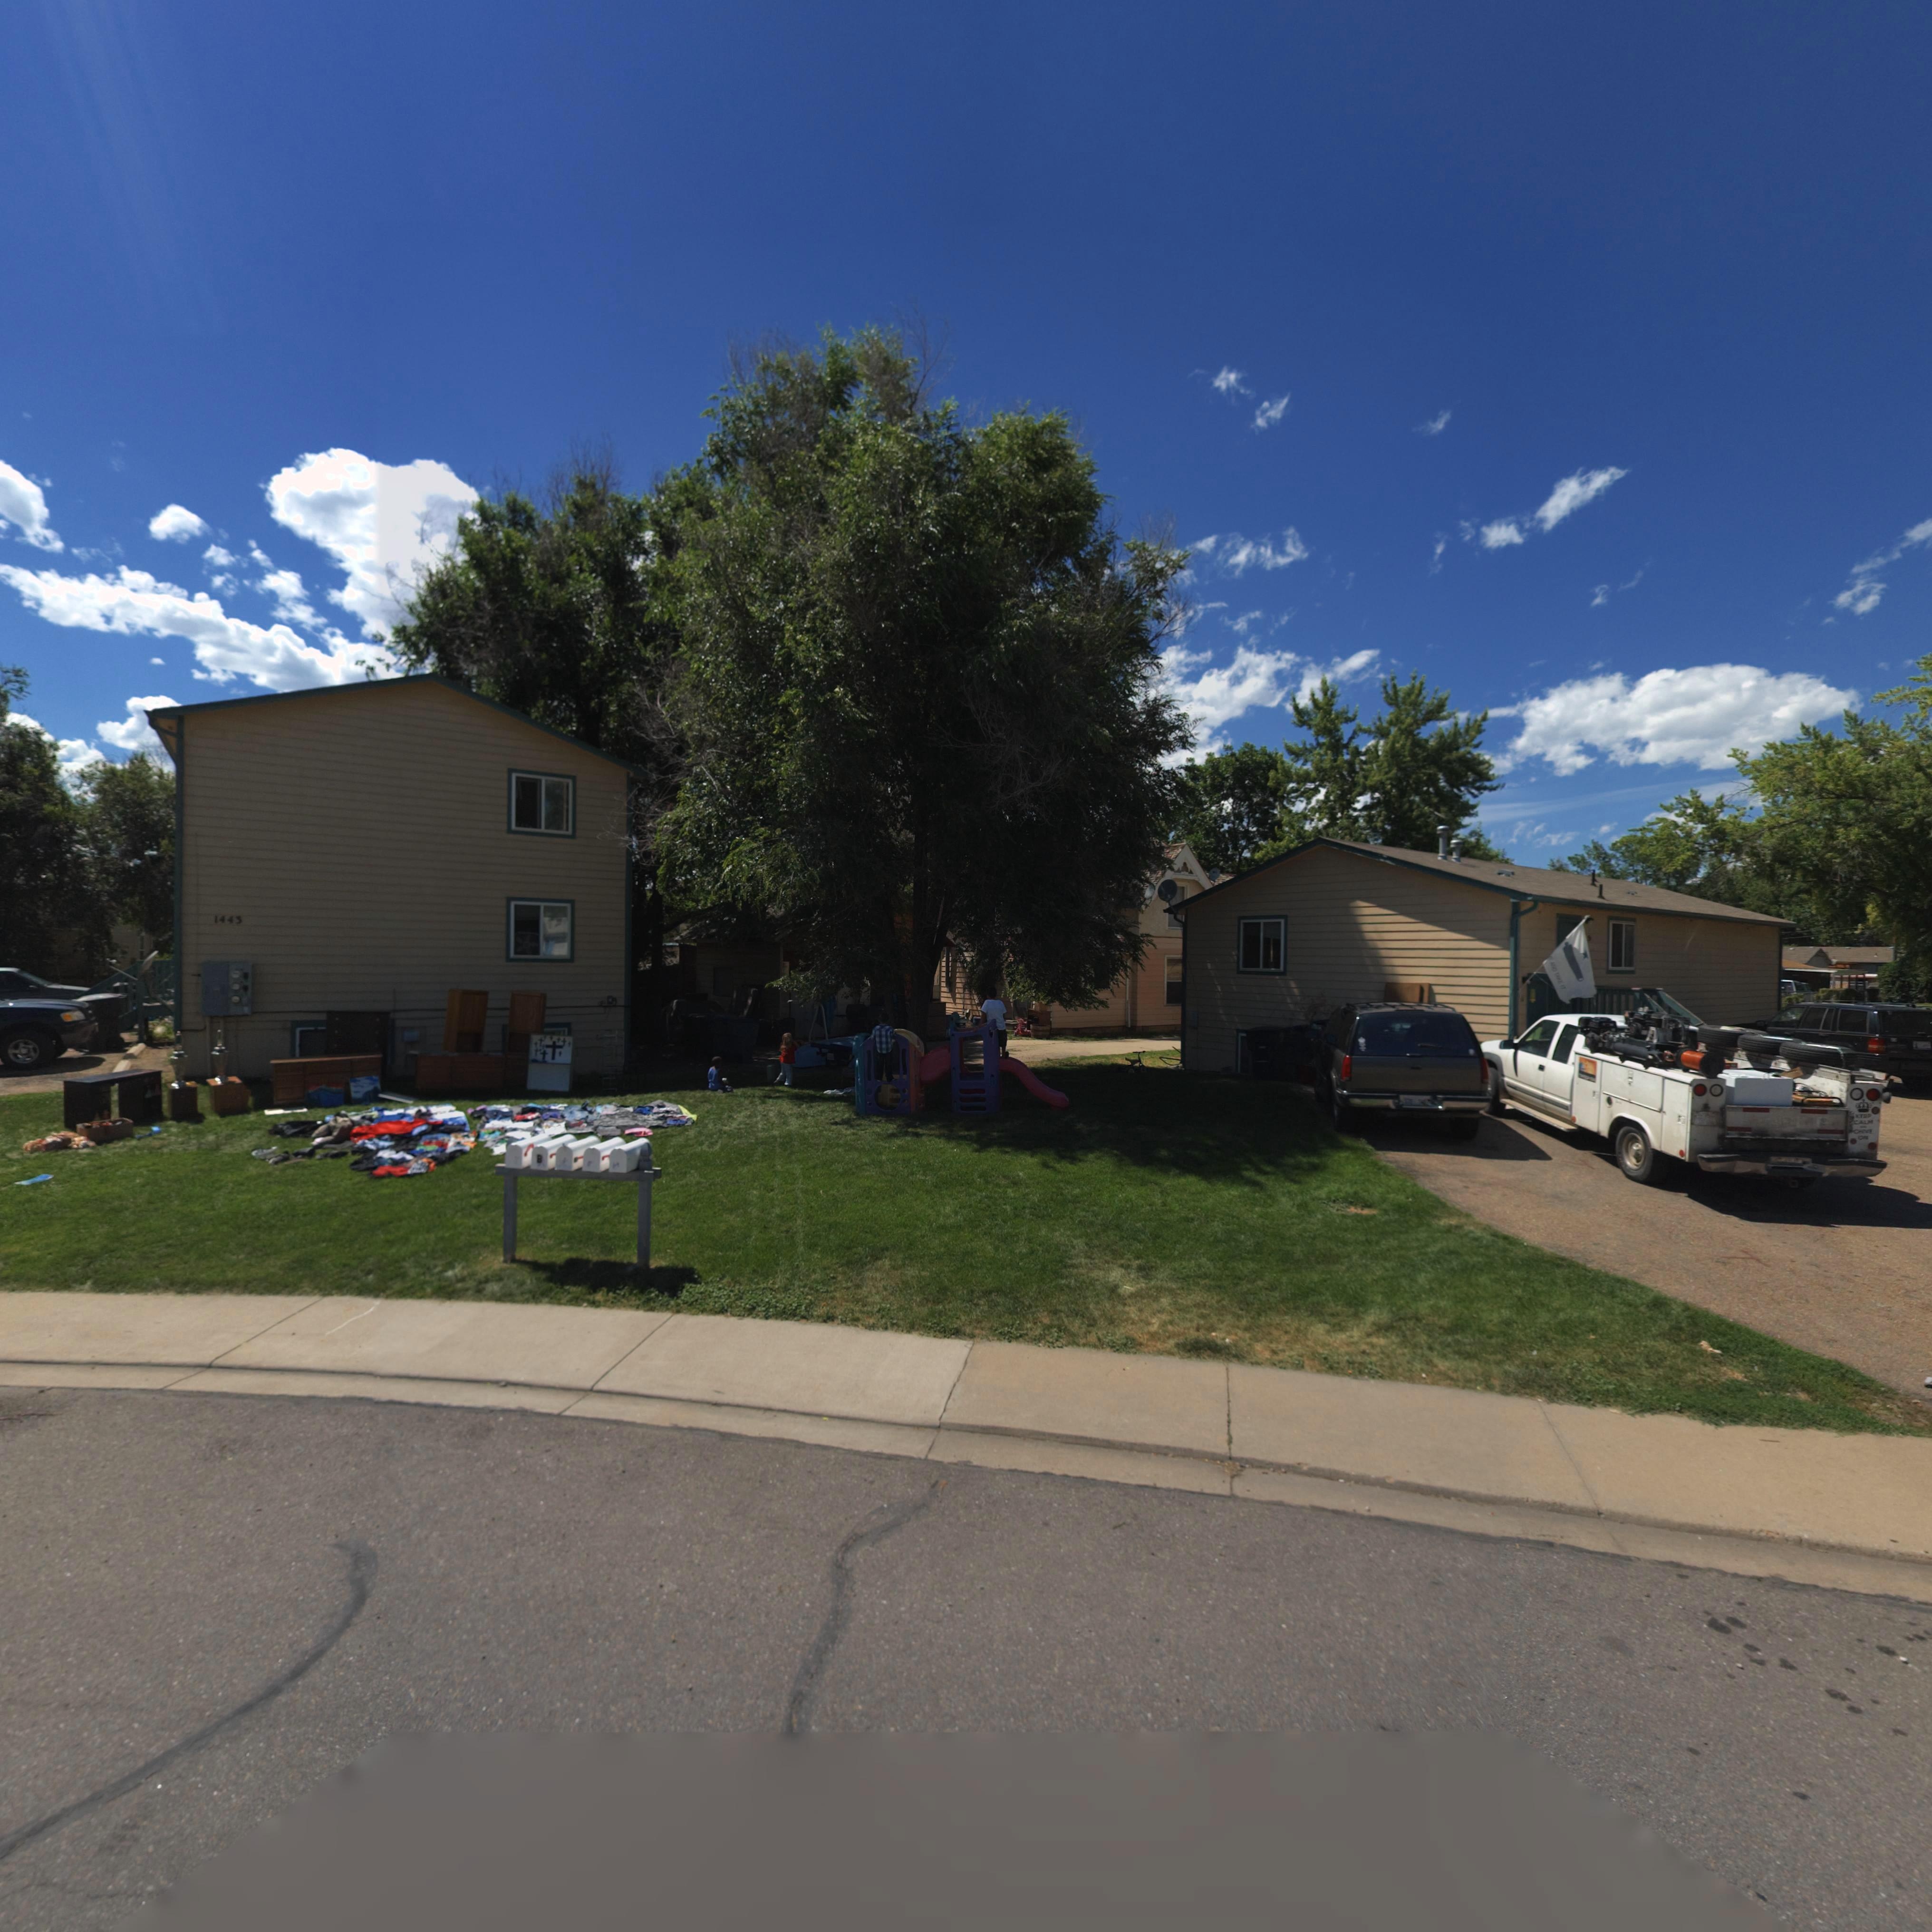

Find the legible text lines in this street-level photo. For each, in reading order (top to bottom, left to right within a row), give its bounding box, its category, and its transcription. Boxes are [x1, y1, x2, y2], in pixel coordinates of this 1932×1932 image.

[214, 914, 242, 925] StreetNumber: 1443